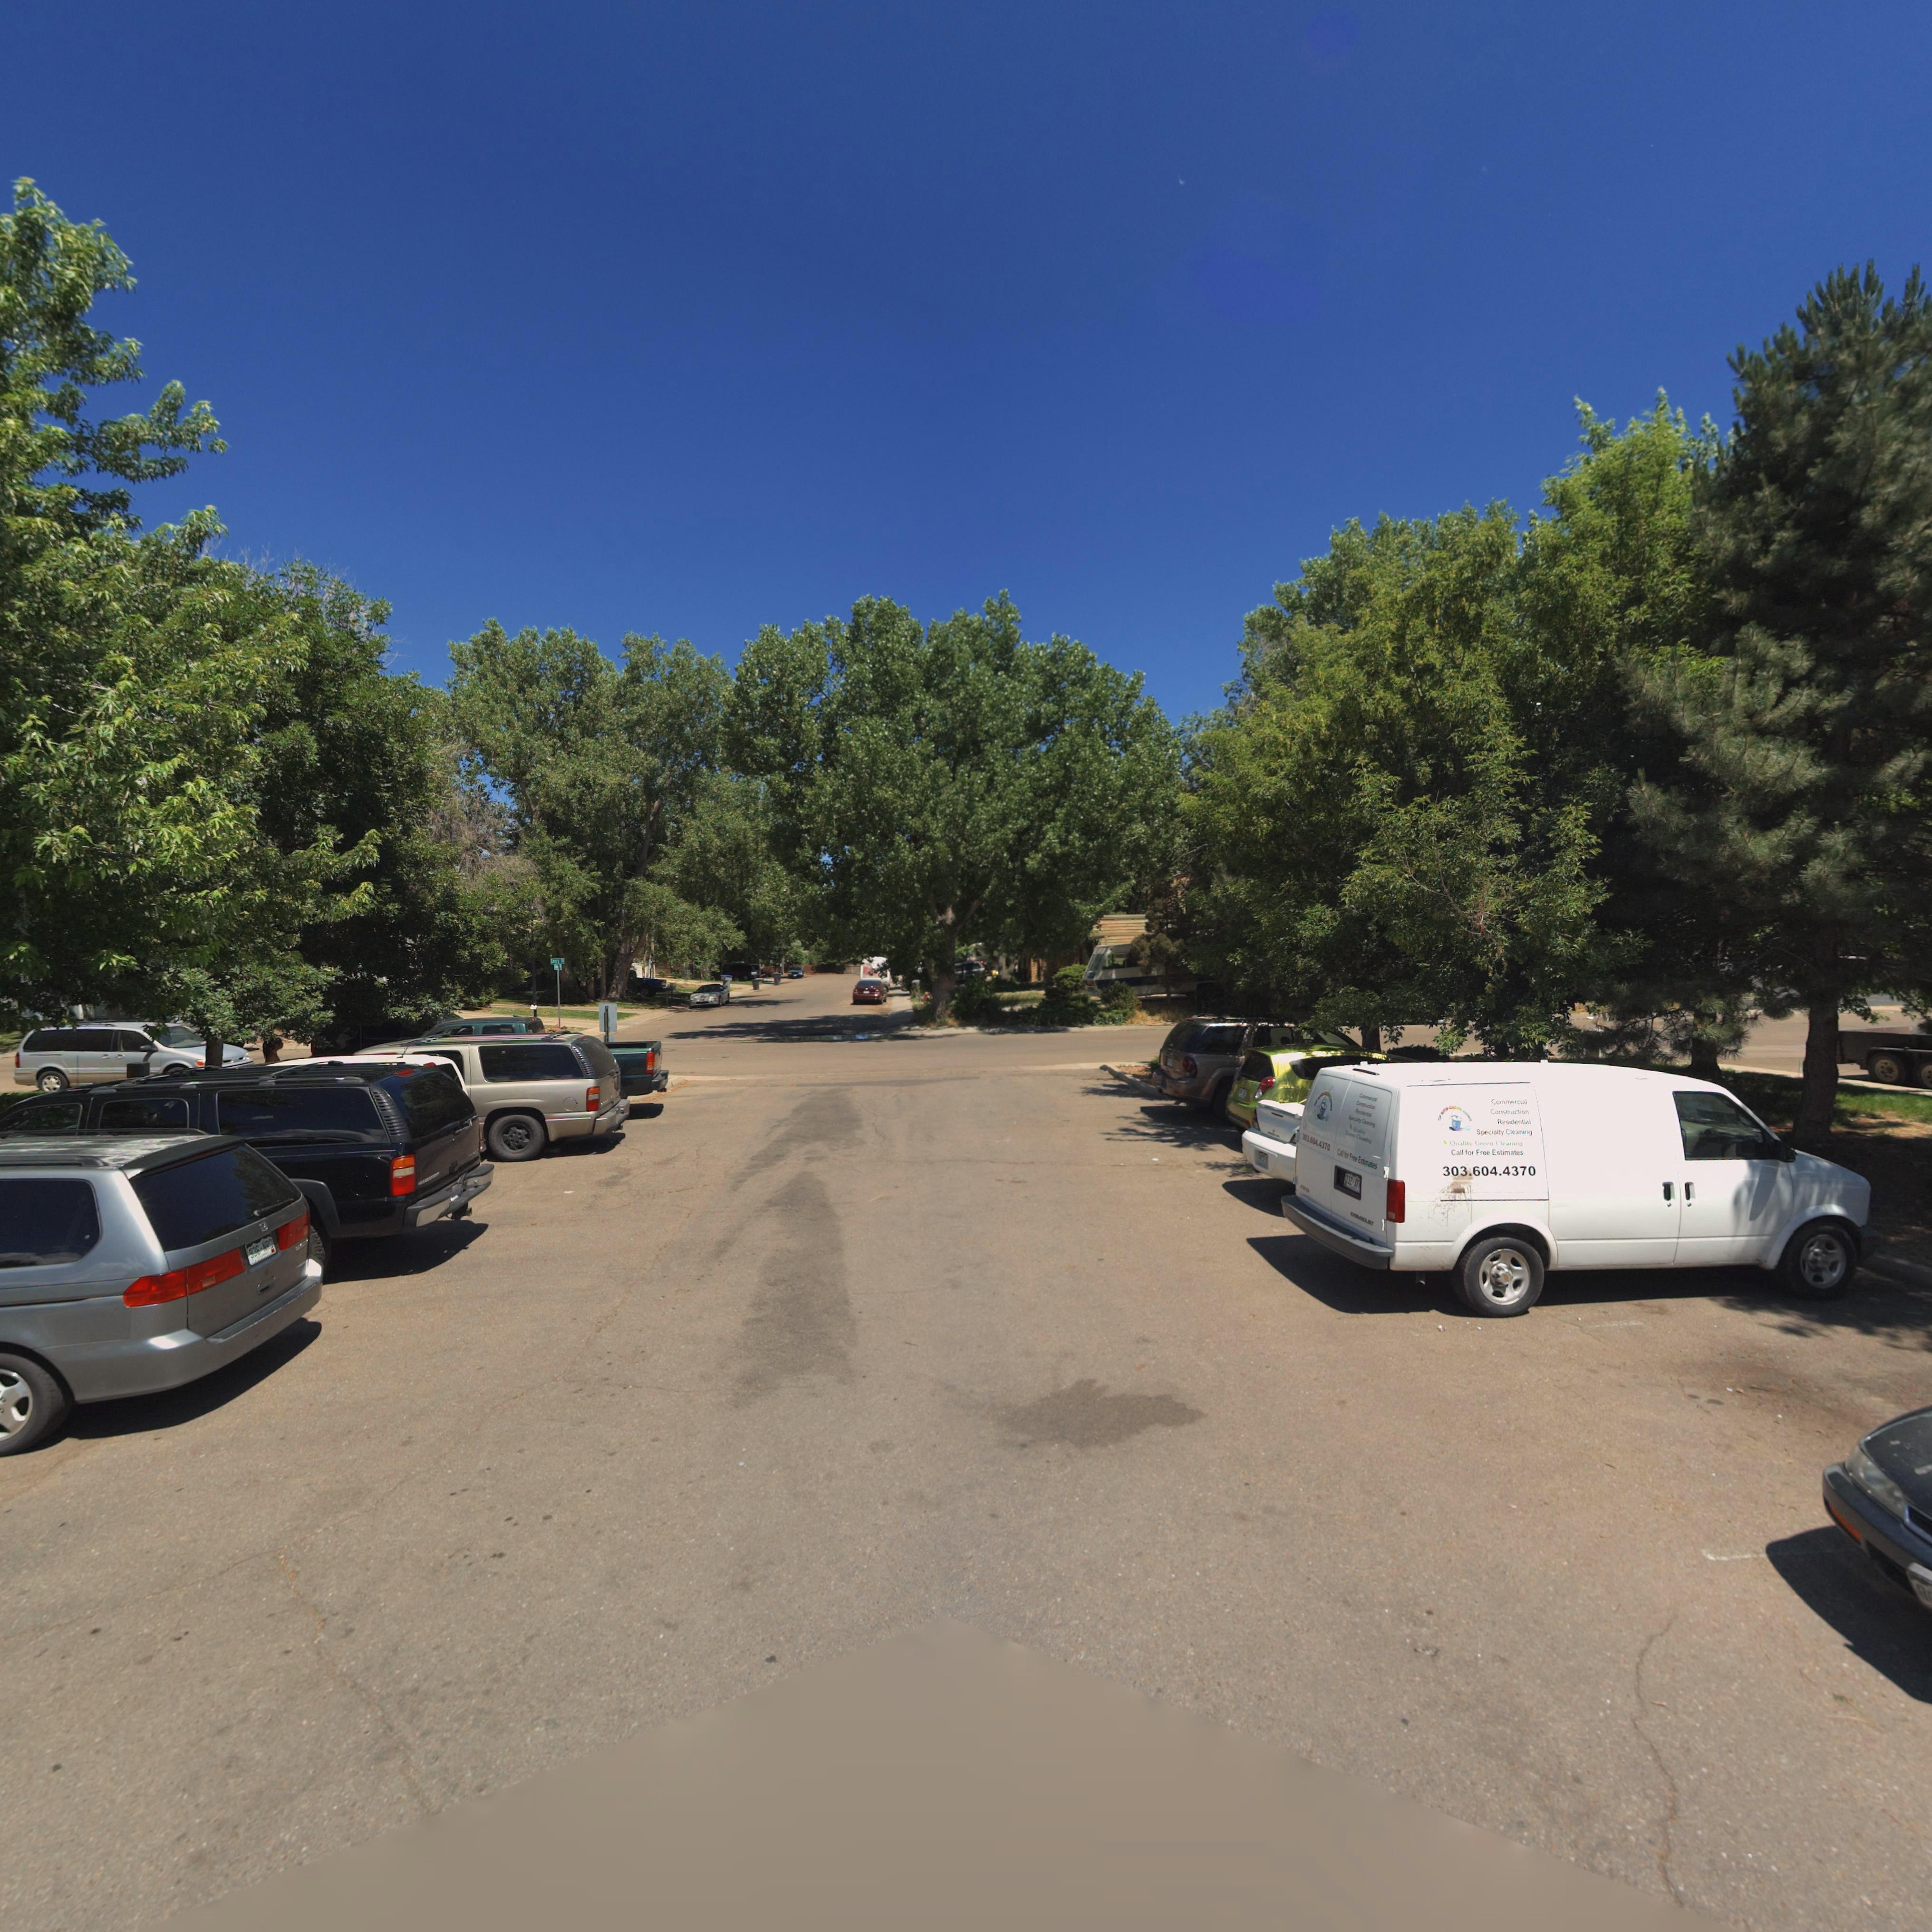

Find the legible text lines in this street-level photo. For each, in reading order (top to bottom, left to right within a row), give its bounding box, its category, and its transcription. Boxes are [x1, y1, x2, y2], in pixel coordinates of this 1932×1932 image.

[551, 958, 564, 964] StreetName: E***y S*